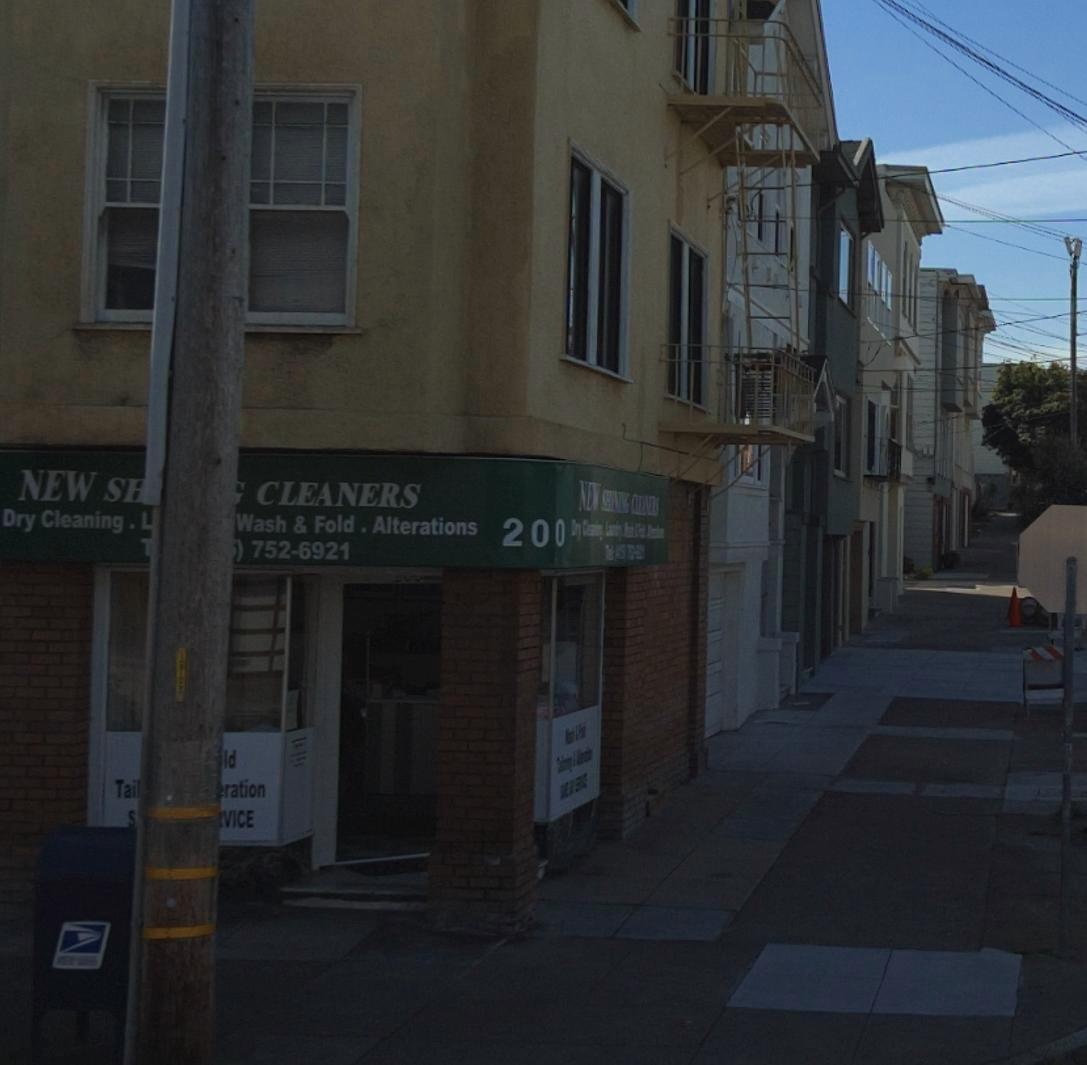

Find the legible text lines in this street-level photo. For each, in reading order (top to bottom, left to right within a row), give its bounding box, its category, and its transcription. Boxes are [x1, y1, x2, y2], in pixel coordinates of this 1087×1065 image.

[16, 467, 145, 502] BusinessName: NEW SH
[256, 479, 419, 507] BusinessName: CLEANERS
[575, 478, 603, 514] None: NEW
[2, 504, 154, 534] None: Dry Cleaning*L
[235, 509, 482, 538] None: Wash & Fold.Alterations
[500, 517, 567, 549] StreetNumber: 200
[569, 517, 583, 541] None: Dry
[249, 538, 352, 561] None: 752-6921
[221, 746, 236, 769] None: ld
[114, 775, 141, 798] None: Tail
[223, 778, 265, 800] None: ration
[125, 807, 138, 827] None: S
[221, 807, 255, 828] None: VICE